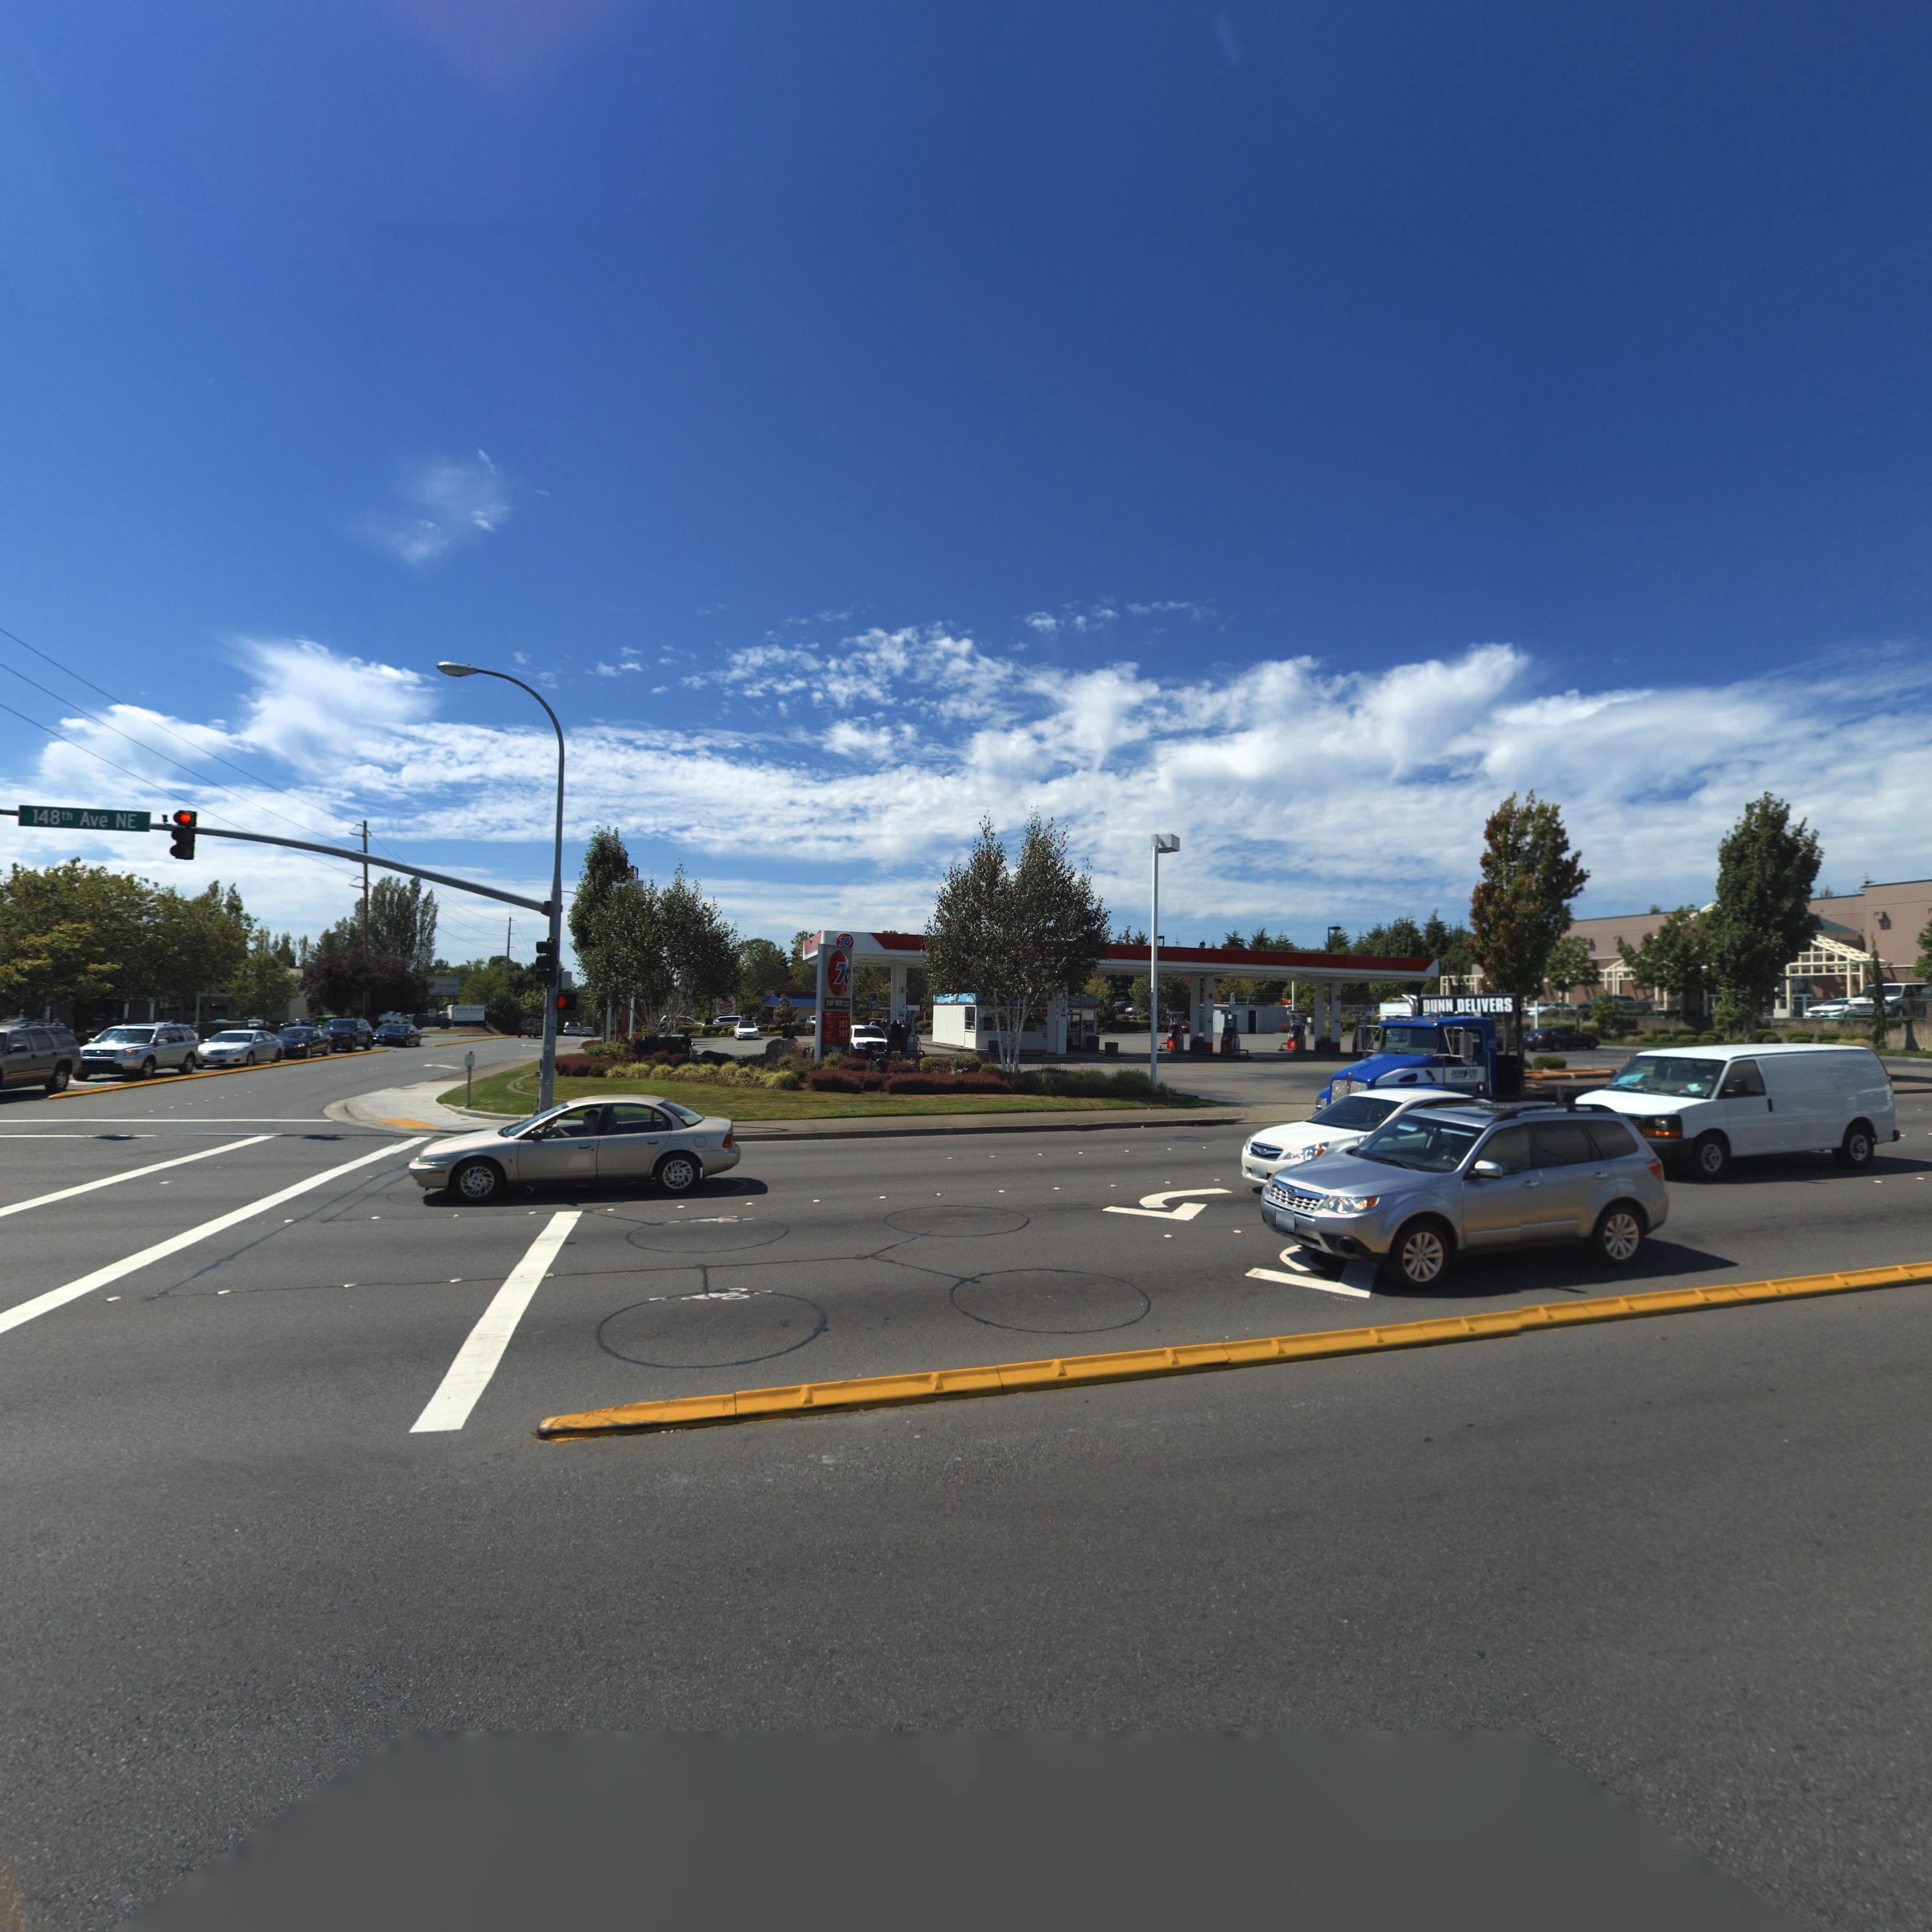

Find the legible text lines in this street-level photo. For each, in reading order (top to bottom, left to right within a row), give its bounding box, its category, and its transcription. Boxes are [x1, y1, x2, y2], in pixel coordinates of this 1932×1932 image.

[28, 806, 143, 832] StreetName: 148TH Ave NE